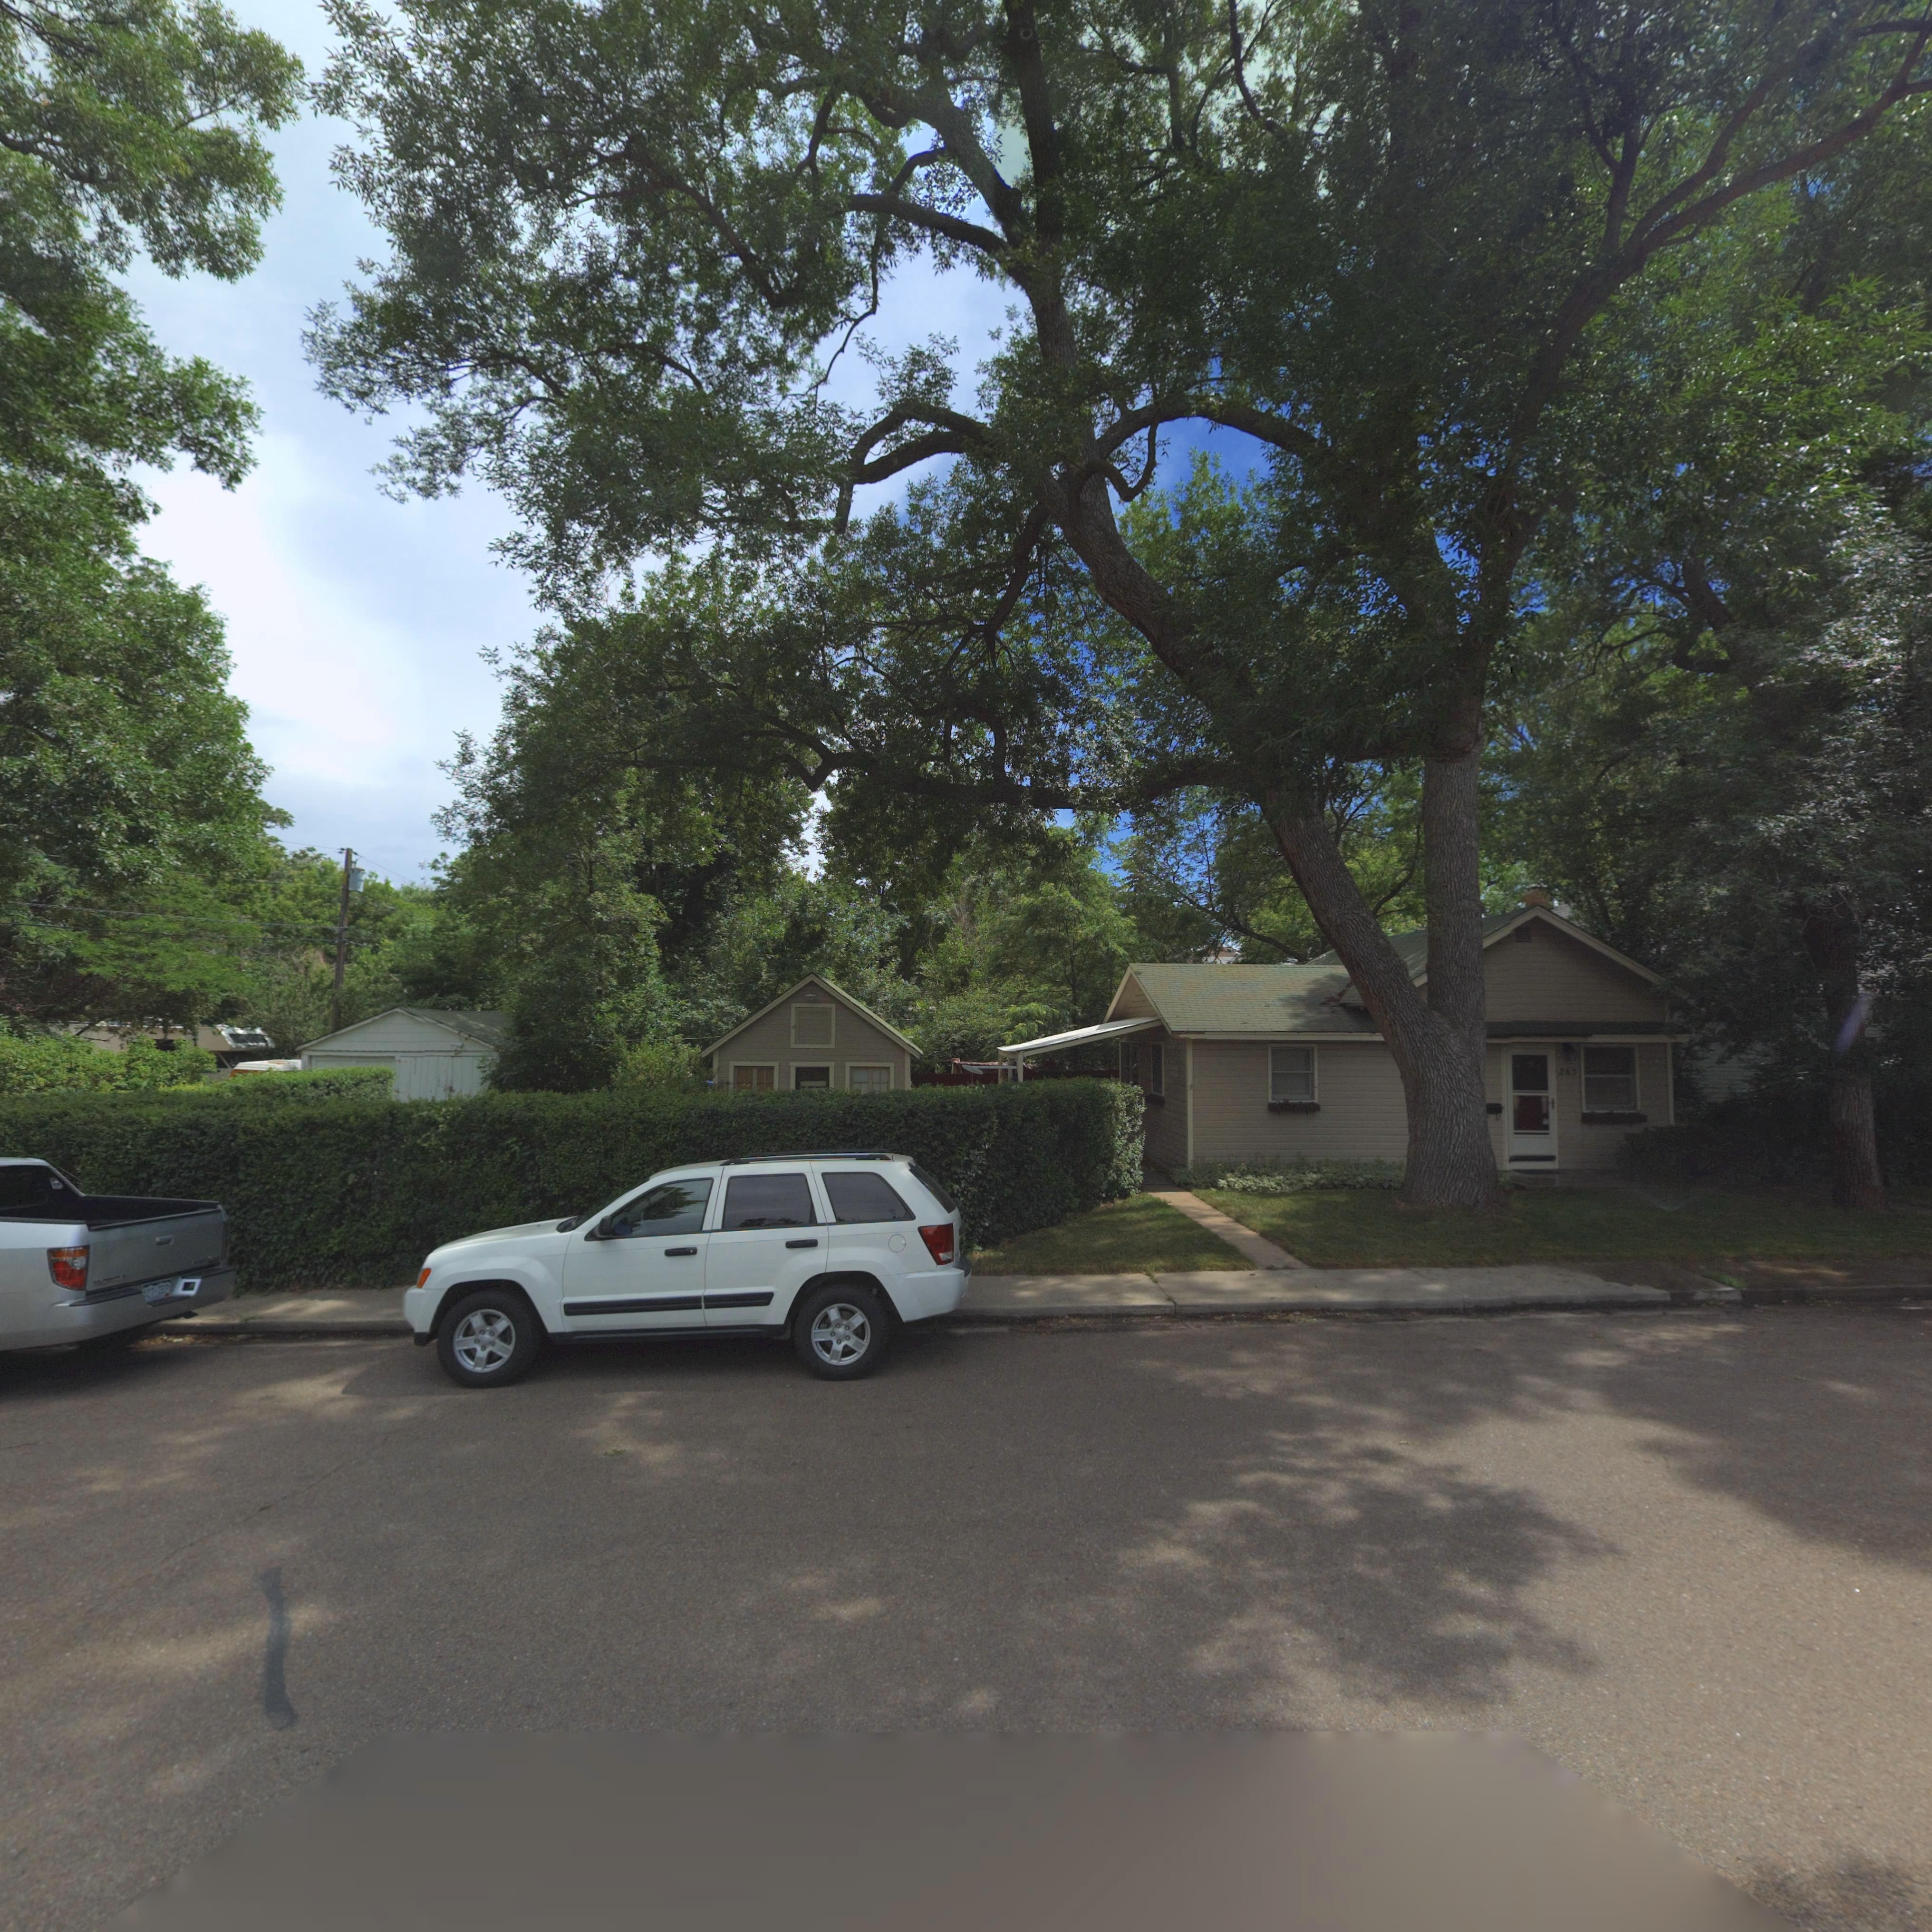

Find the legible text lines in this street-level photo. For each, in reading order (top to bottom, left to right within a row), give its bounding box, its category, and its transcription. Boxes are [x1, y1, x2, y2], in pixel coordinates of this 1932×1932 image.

[1558, 1067, 1577, 1076] StreetNumber: 265